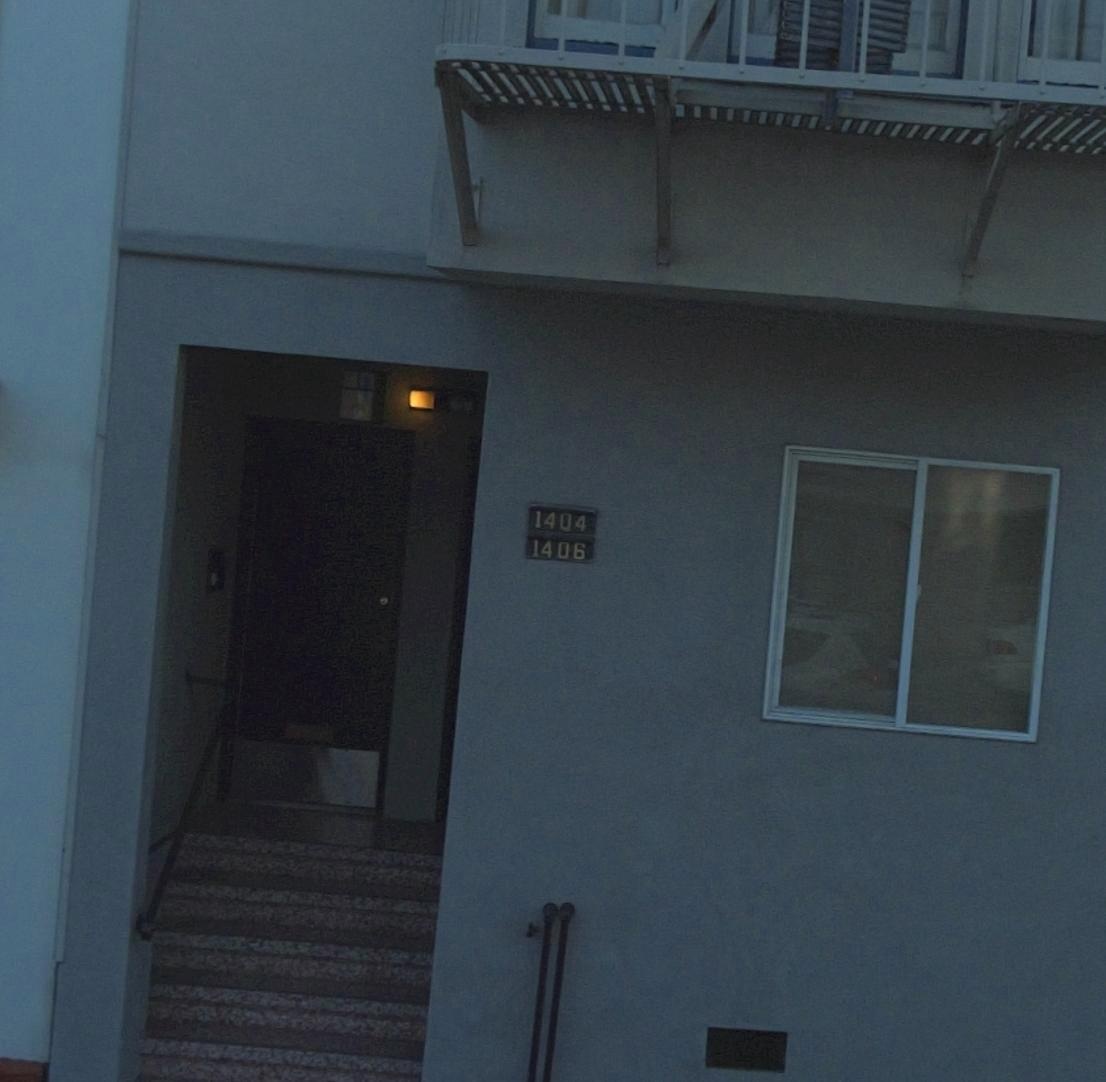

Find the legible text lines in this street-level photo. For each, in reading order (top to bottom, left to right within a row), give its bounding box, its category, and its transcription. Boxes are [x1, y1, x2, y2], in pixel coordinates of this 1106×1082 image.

[532, 507, 588, 534] StreetNumber: 1404
[530, 537, 587, 562] StreetNumber: 1406